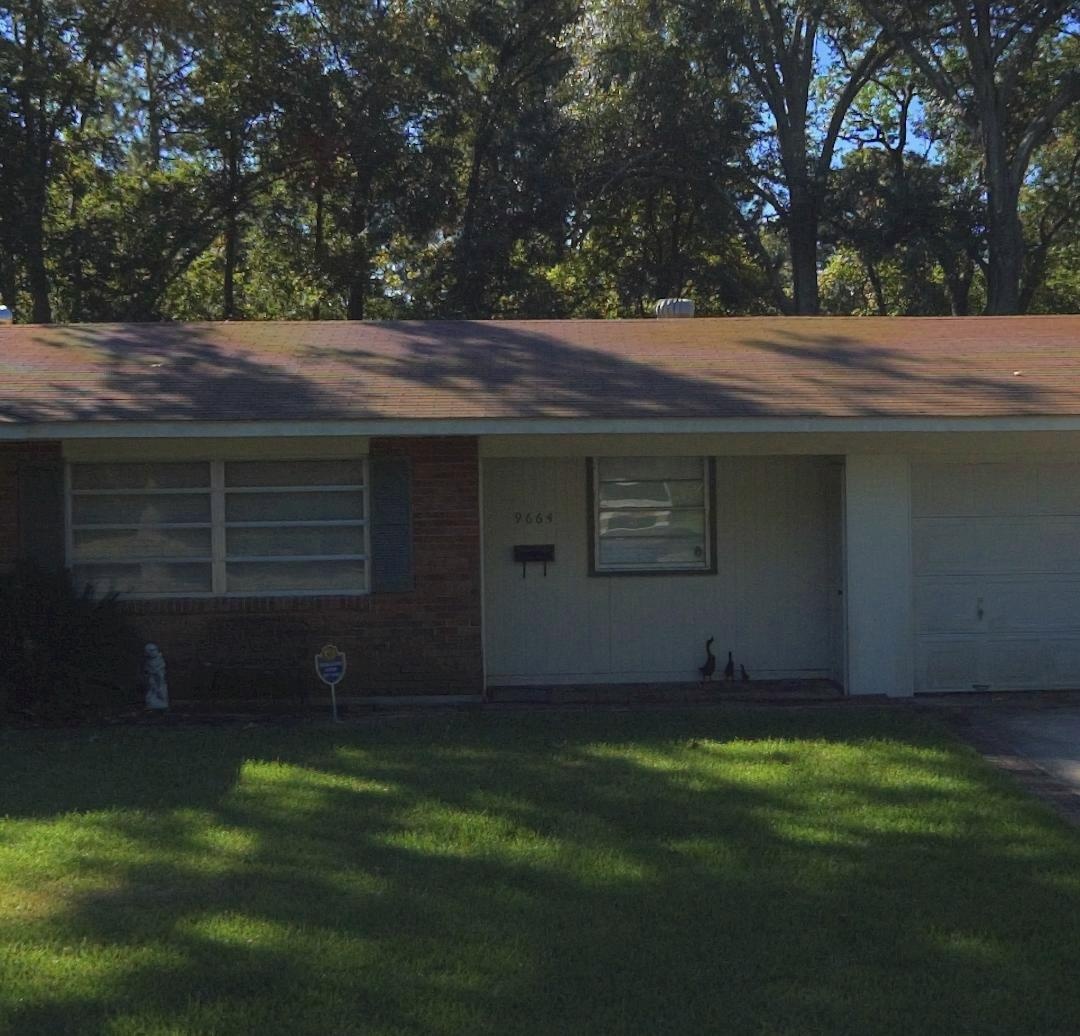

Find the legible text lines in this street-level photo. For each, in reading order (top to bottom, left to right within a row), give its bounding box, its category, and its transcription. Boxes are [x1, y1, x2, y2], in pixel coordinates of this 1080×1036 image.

[513, 510, 555, 526] StreetNumber: 9664